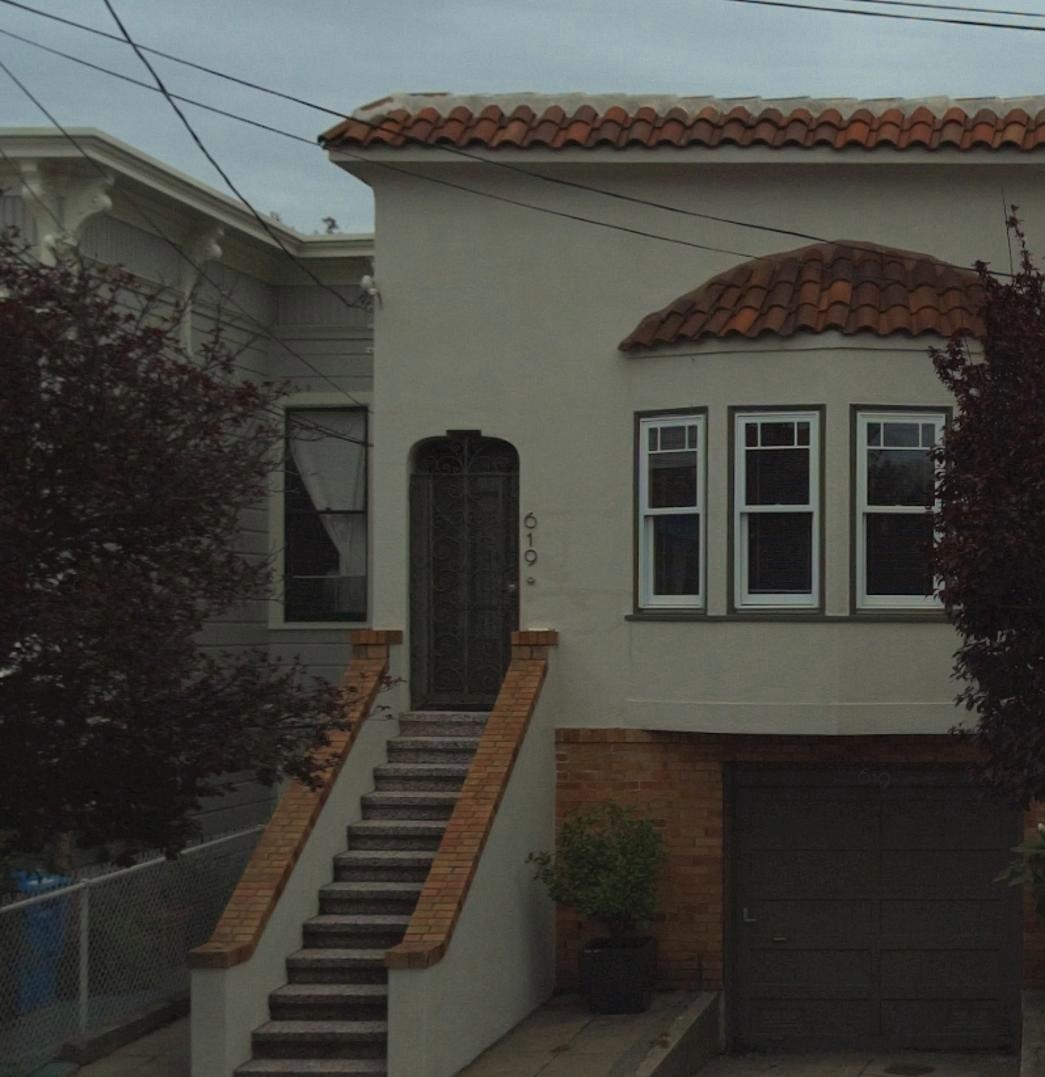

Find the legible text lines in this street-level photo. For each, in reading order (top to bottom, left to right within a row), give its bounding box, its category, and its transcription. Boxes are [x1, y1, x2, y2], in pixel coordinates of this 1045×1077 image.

[523, 511, 539, 567] StreetNumber: 619